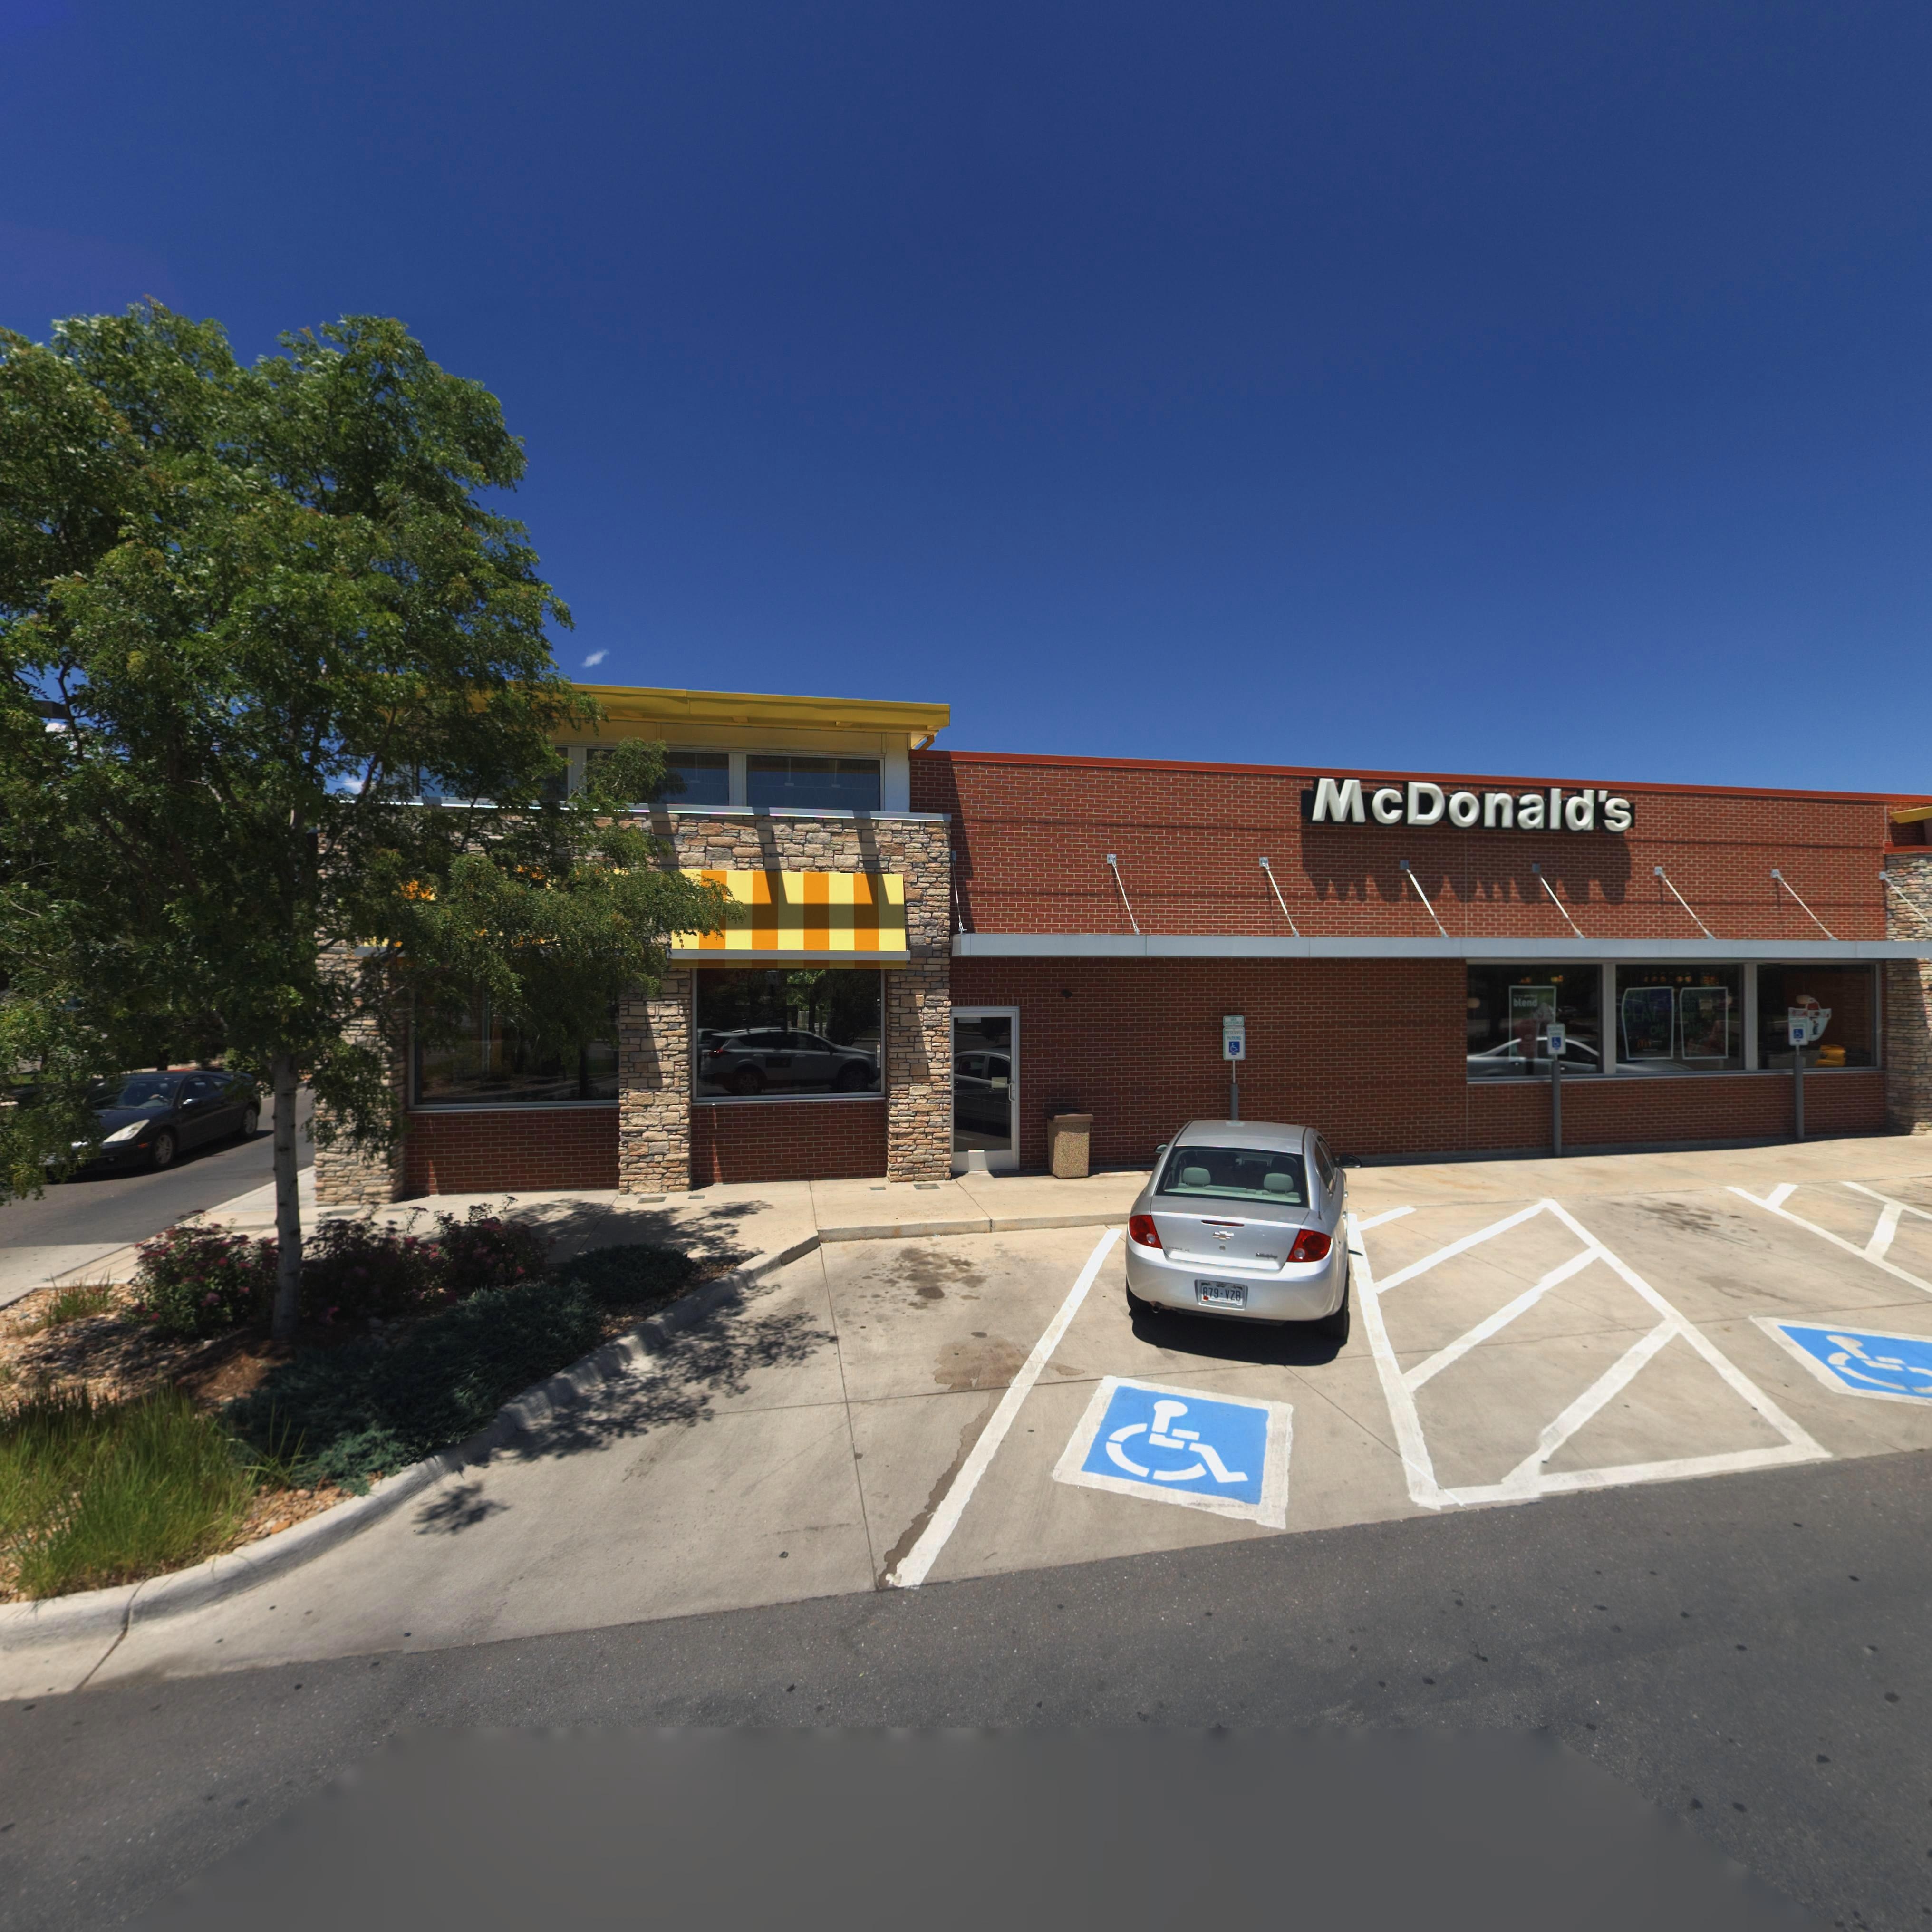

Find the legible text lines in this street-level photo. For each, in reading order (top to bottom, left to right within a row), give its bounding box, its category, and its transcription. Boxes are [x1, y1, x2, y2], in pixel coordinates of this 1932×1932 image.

[1309, 775, 1633, 833] BusinessName: McDonald's